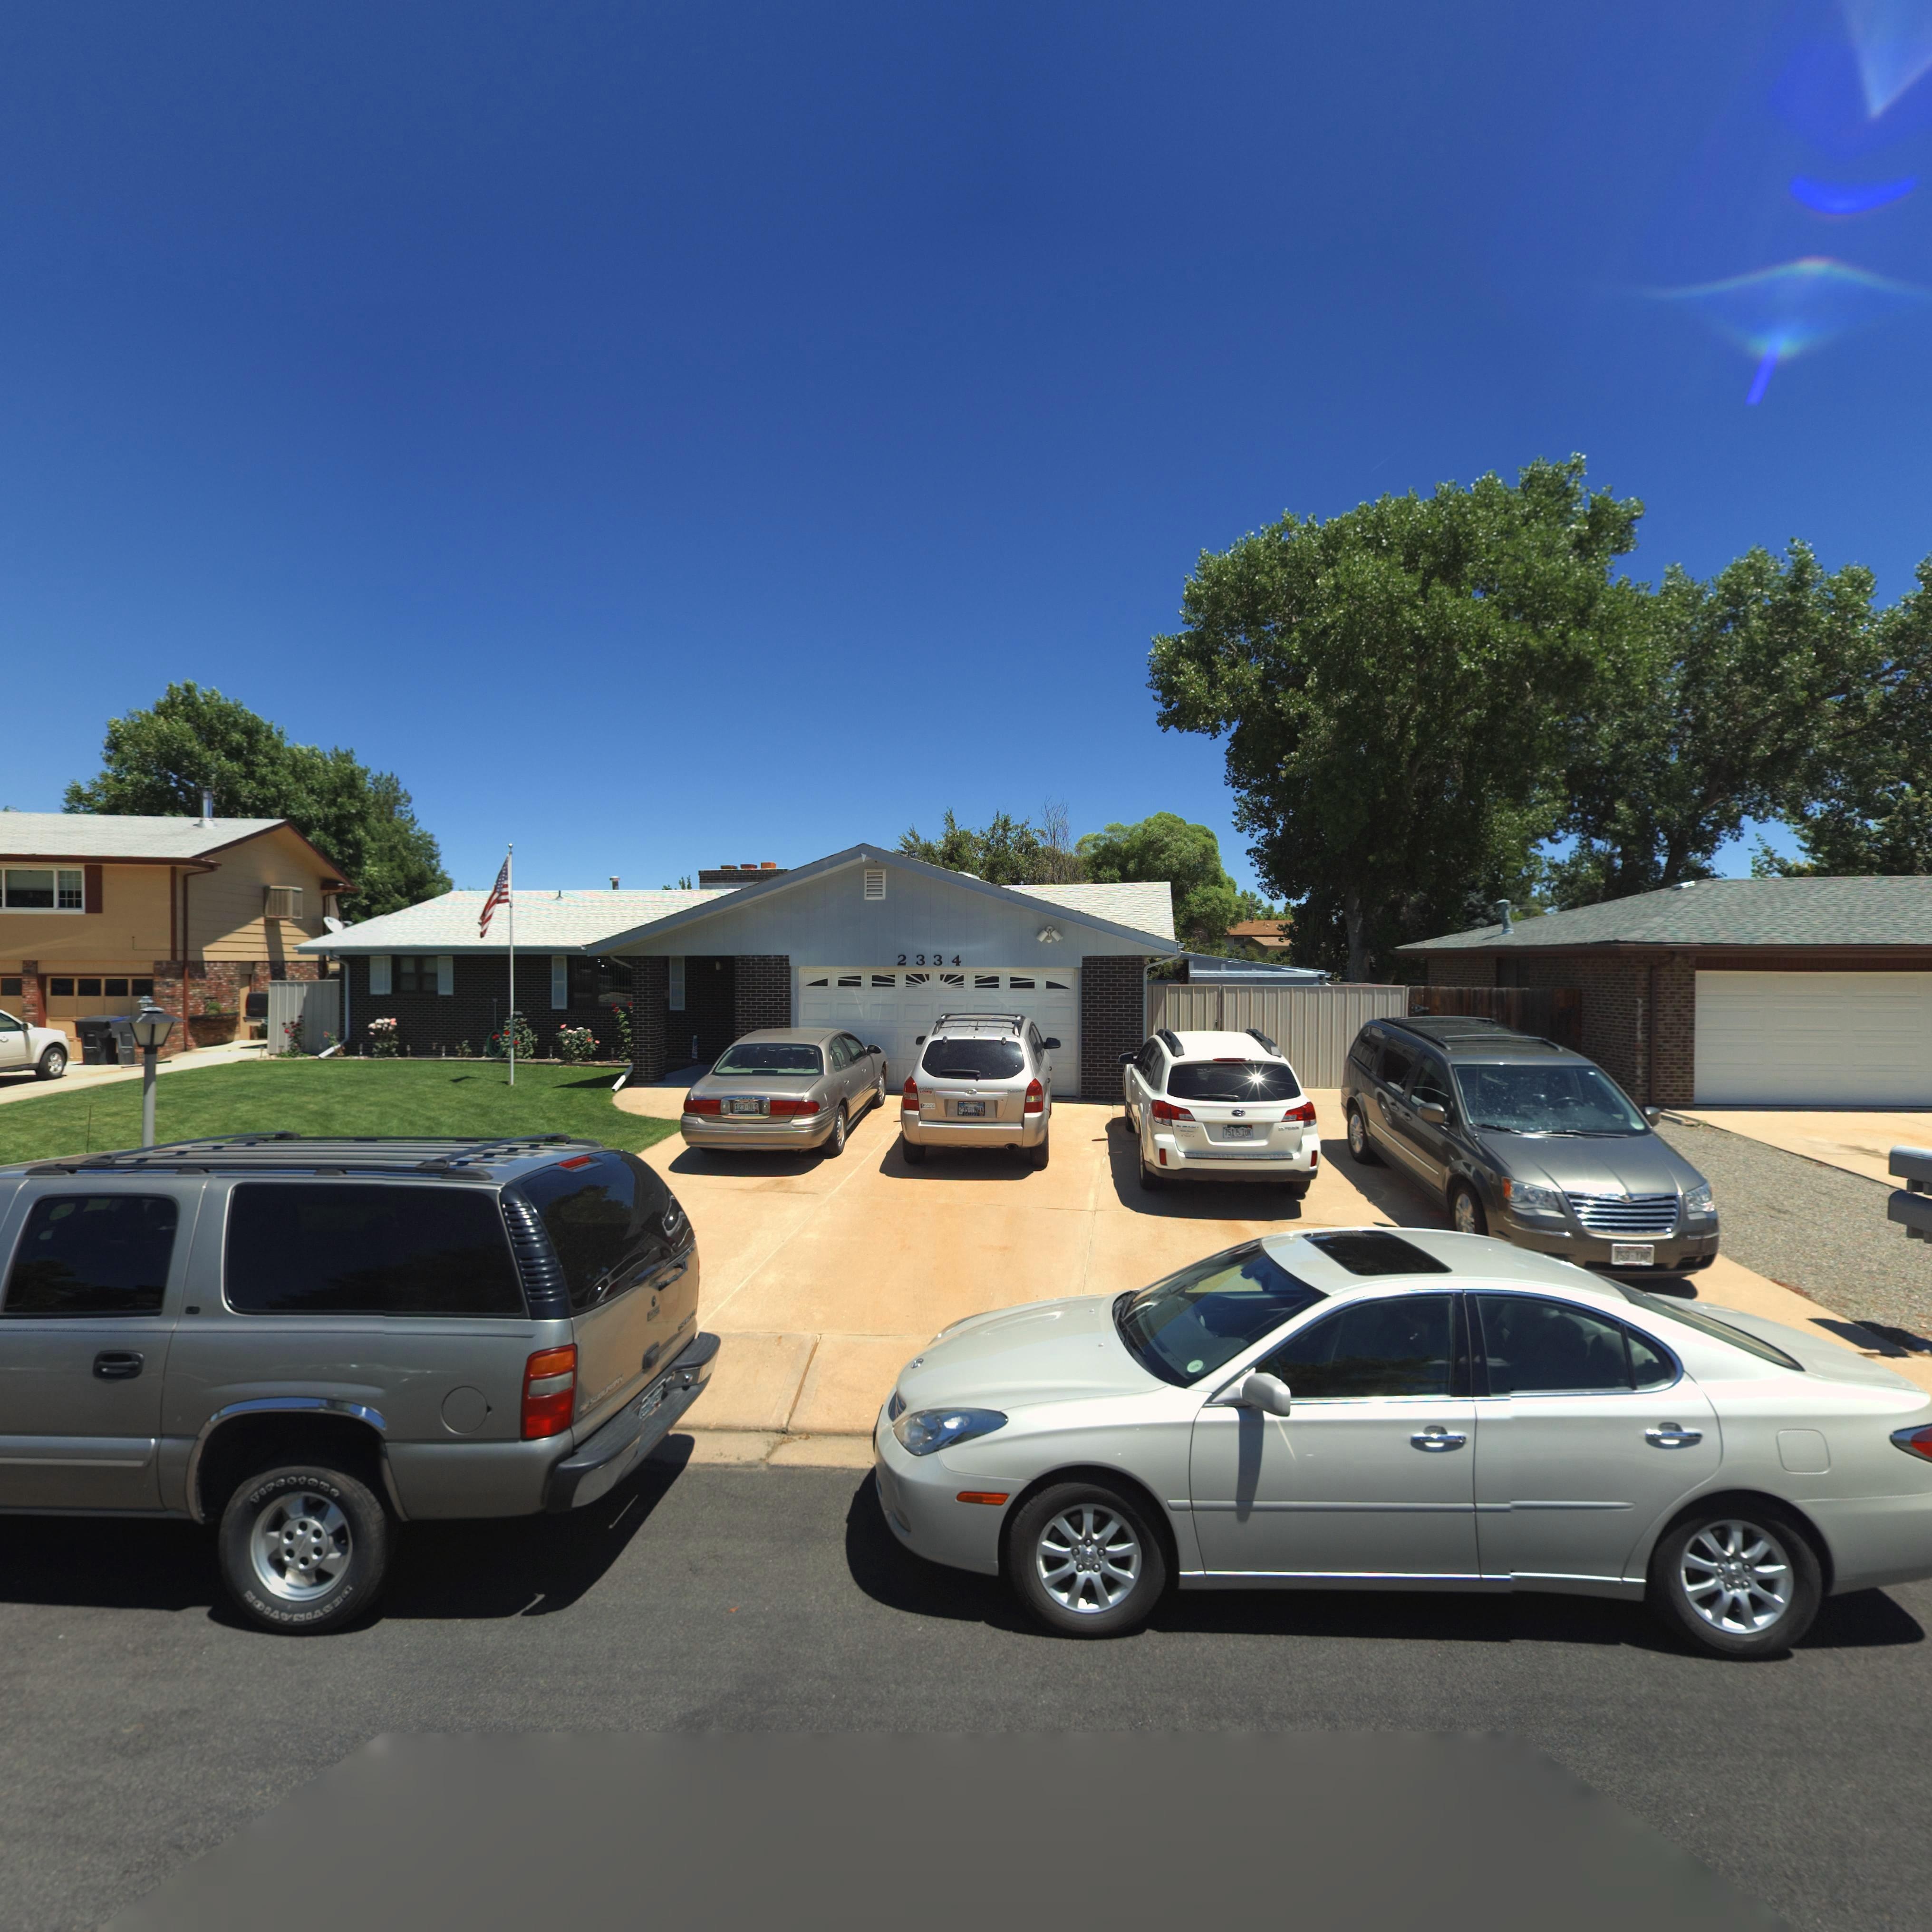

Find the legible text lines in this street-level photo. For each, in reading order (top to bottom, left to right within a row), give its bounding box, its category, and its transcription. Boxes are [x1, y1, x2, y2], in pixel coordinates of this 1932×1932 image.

[896, 954, 962, 966] StreetNumber: 2334